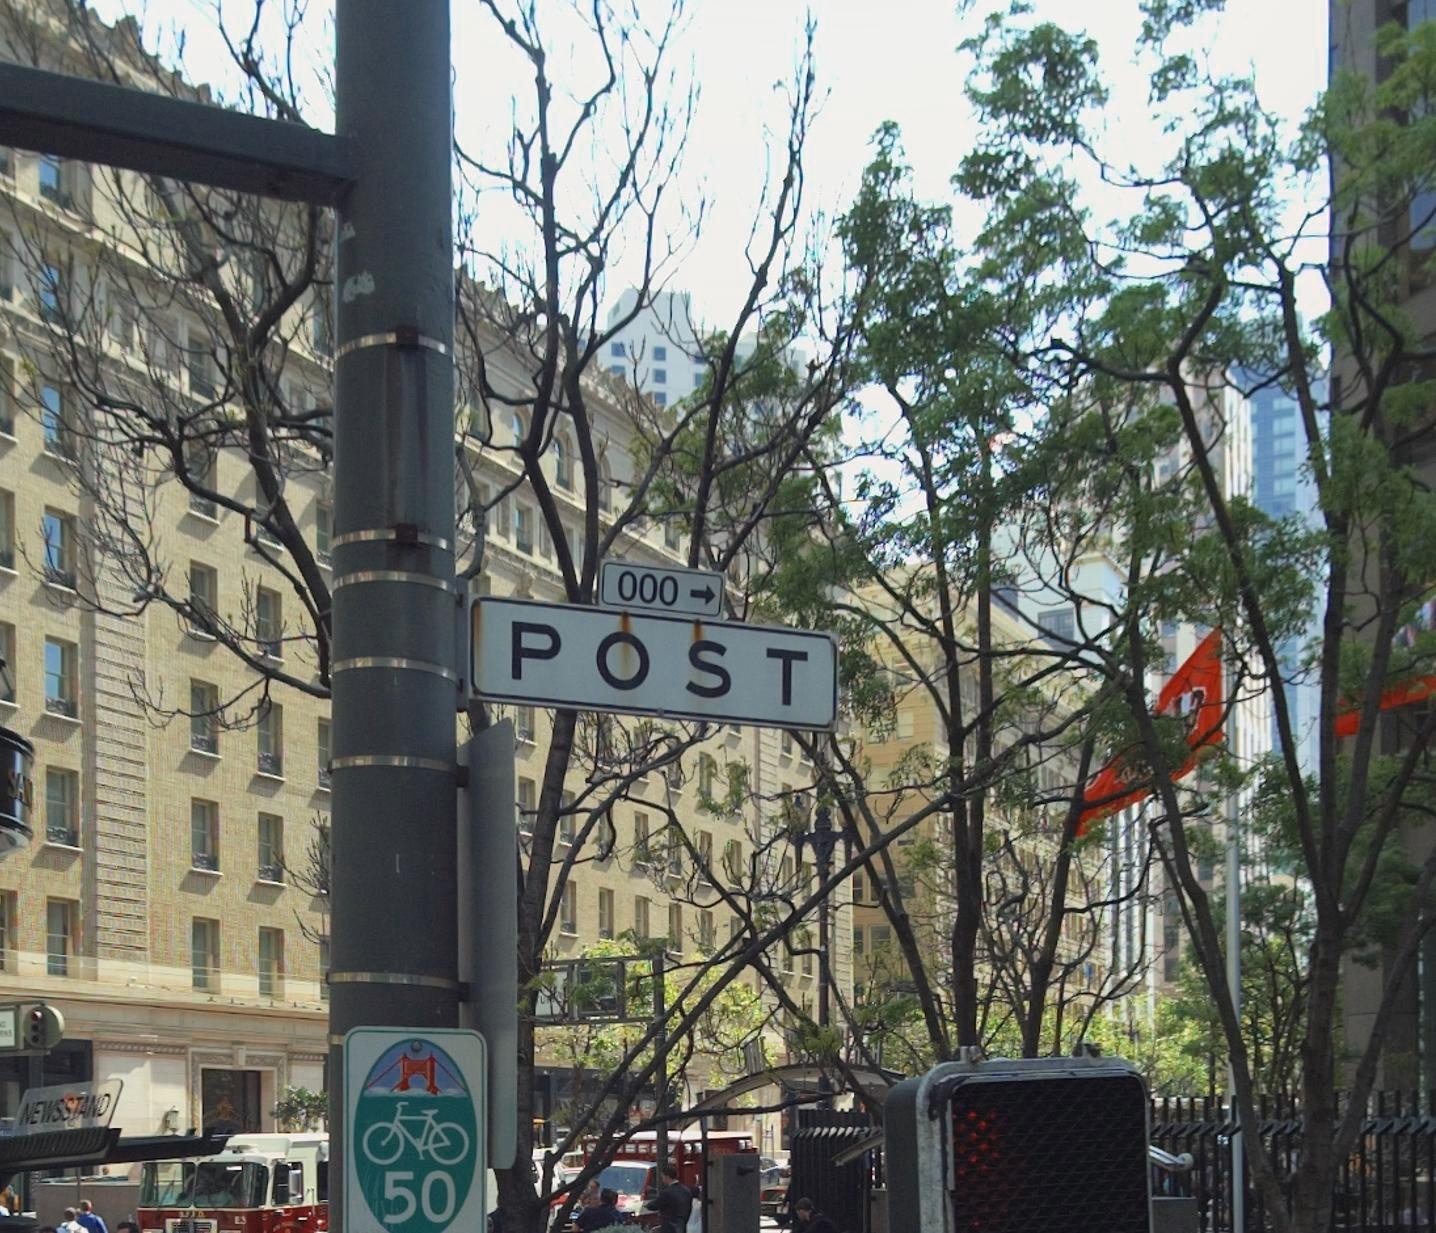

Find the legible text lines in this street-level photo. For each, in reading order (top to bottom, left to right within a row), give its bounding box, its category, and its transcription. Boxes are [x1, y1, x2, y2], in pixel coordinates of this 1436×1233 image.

[615, 568, 719, 610] StreetNumberRange: 000->
[507, 616, 811, 712] StreetName: POST
[15, 1090, 114, 1129] None: NEWSSTAND
[381, 1167, 458, 1226] None: 50